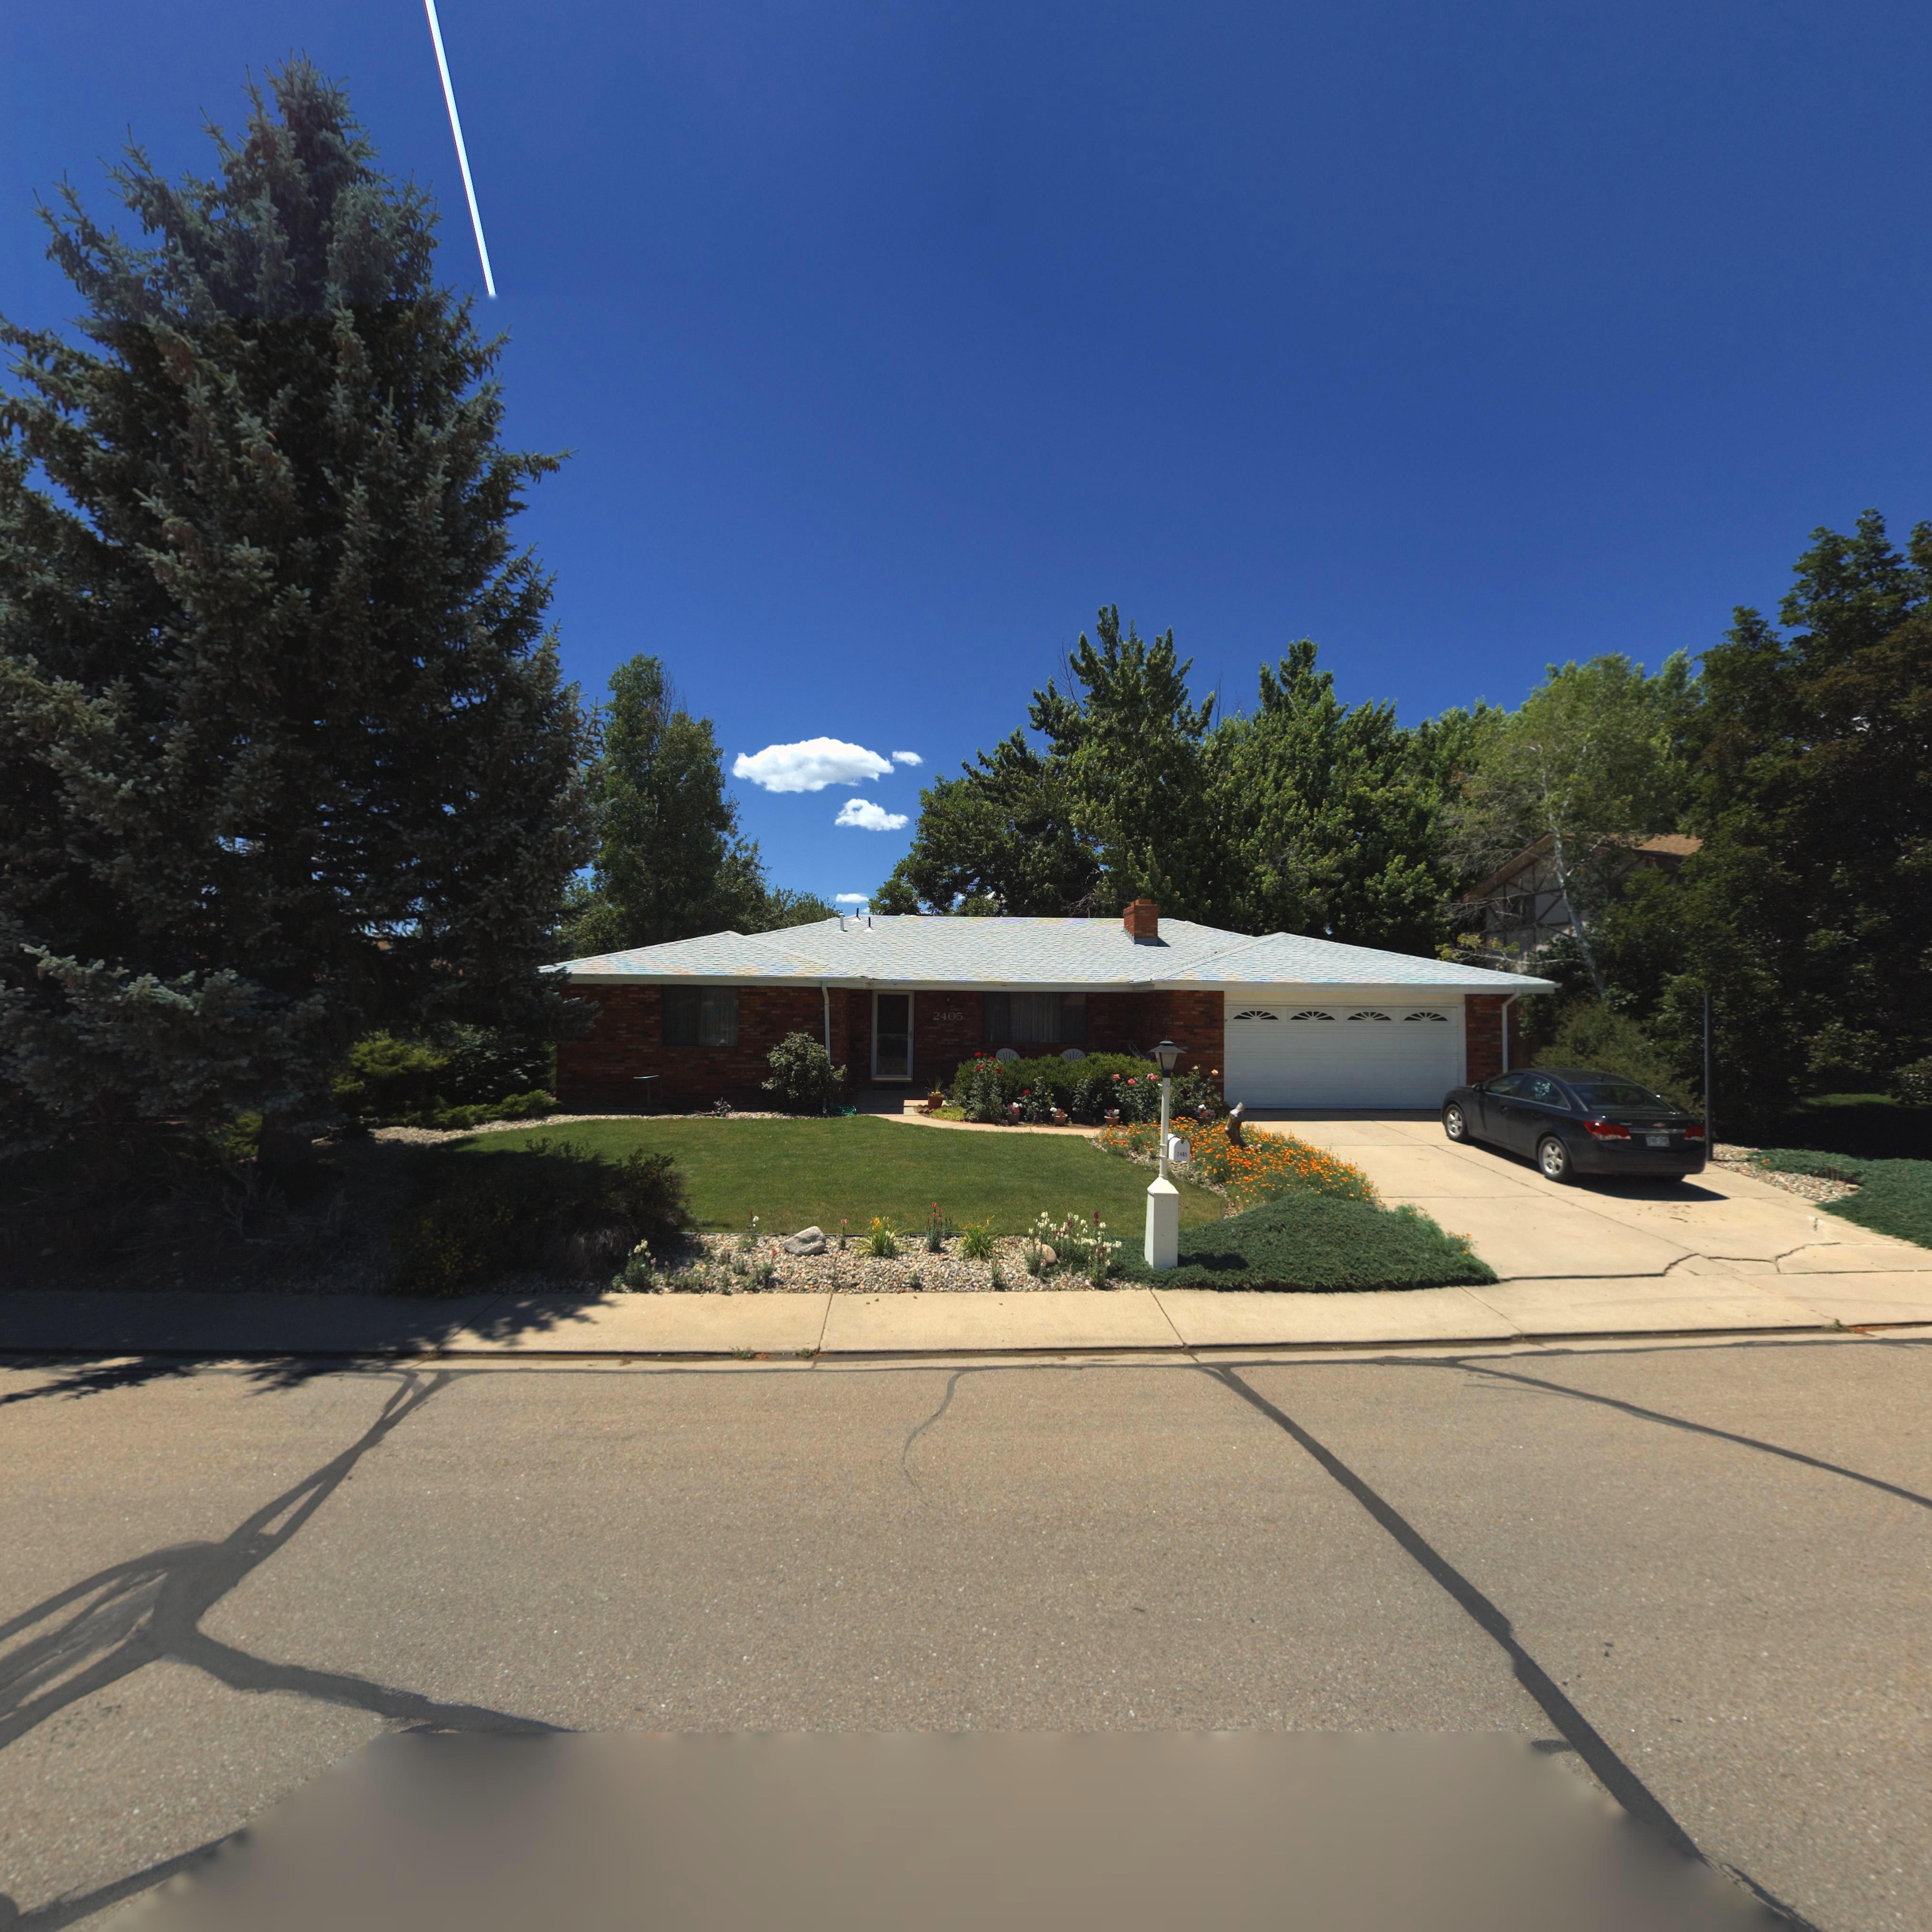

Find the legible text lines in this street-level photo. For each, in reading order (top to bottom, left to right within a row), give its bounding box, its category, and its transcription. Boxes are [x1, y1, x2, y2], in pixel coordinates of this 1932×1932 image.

[932, 1012, 963, 1021] StreetNumber: 2405
[1176, 1151, 1188, 1157] StreetNumber: 2405